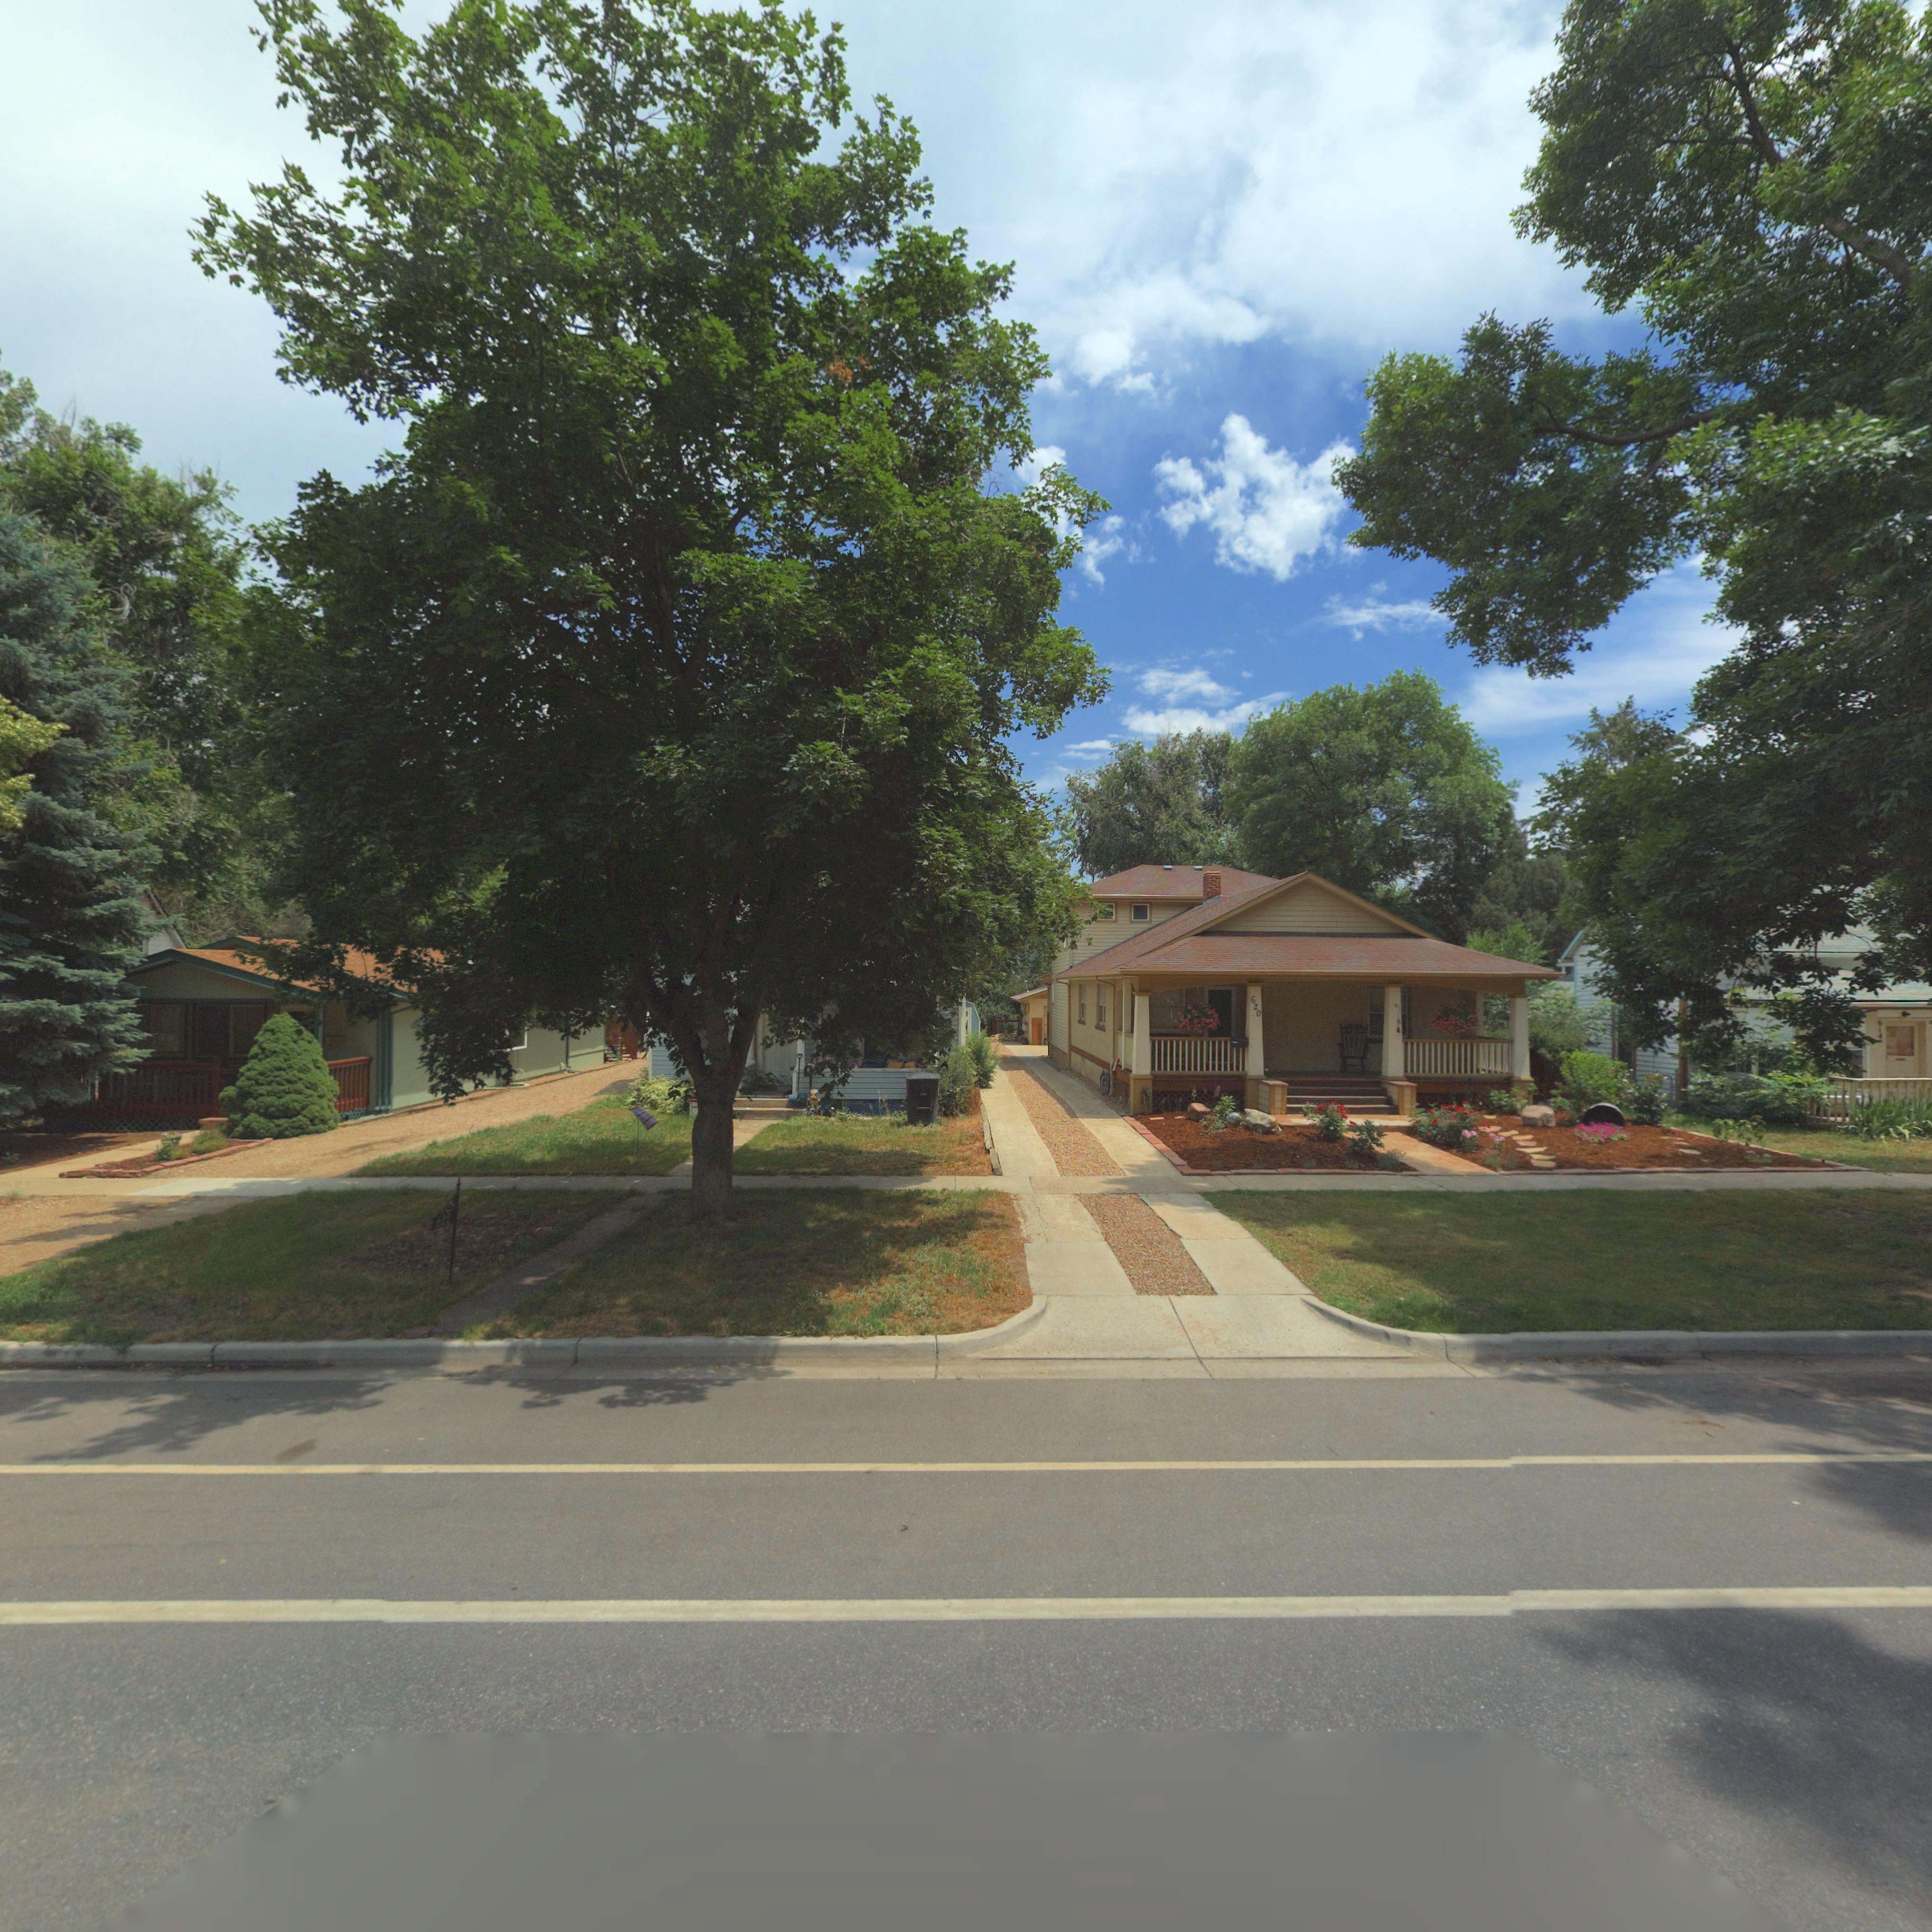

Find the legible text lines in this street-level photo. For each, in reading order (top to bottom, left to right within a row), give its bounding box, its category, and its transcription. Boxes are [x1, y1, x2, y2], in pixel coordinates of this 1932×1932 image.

[1250, 995, 1261, 1017] StreetNumber: 620
[435, 1211, 452, 1228] StreetNumber: 62*